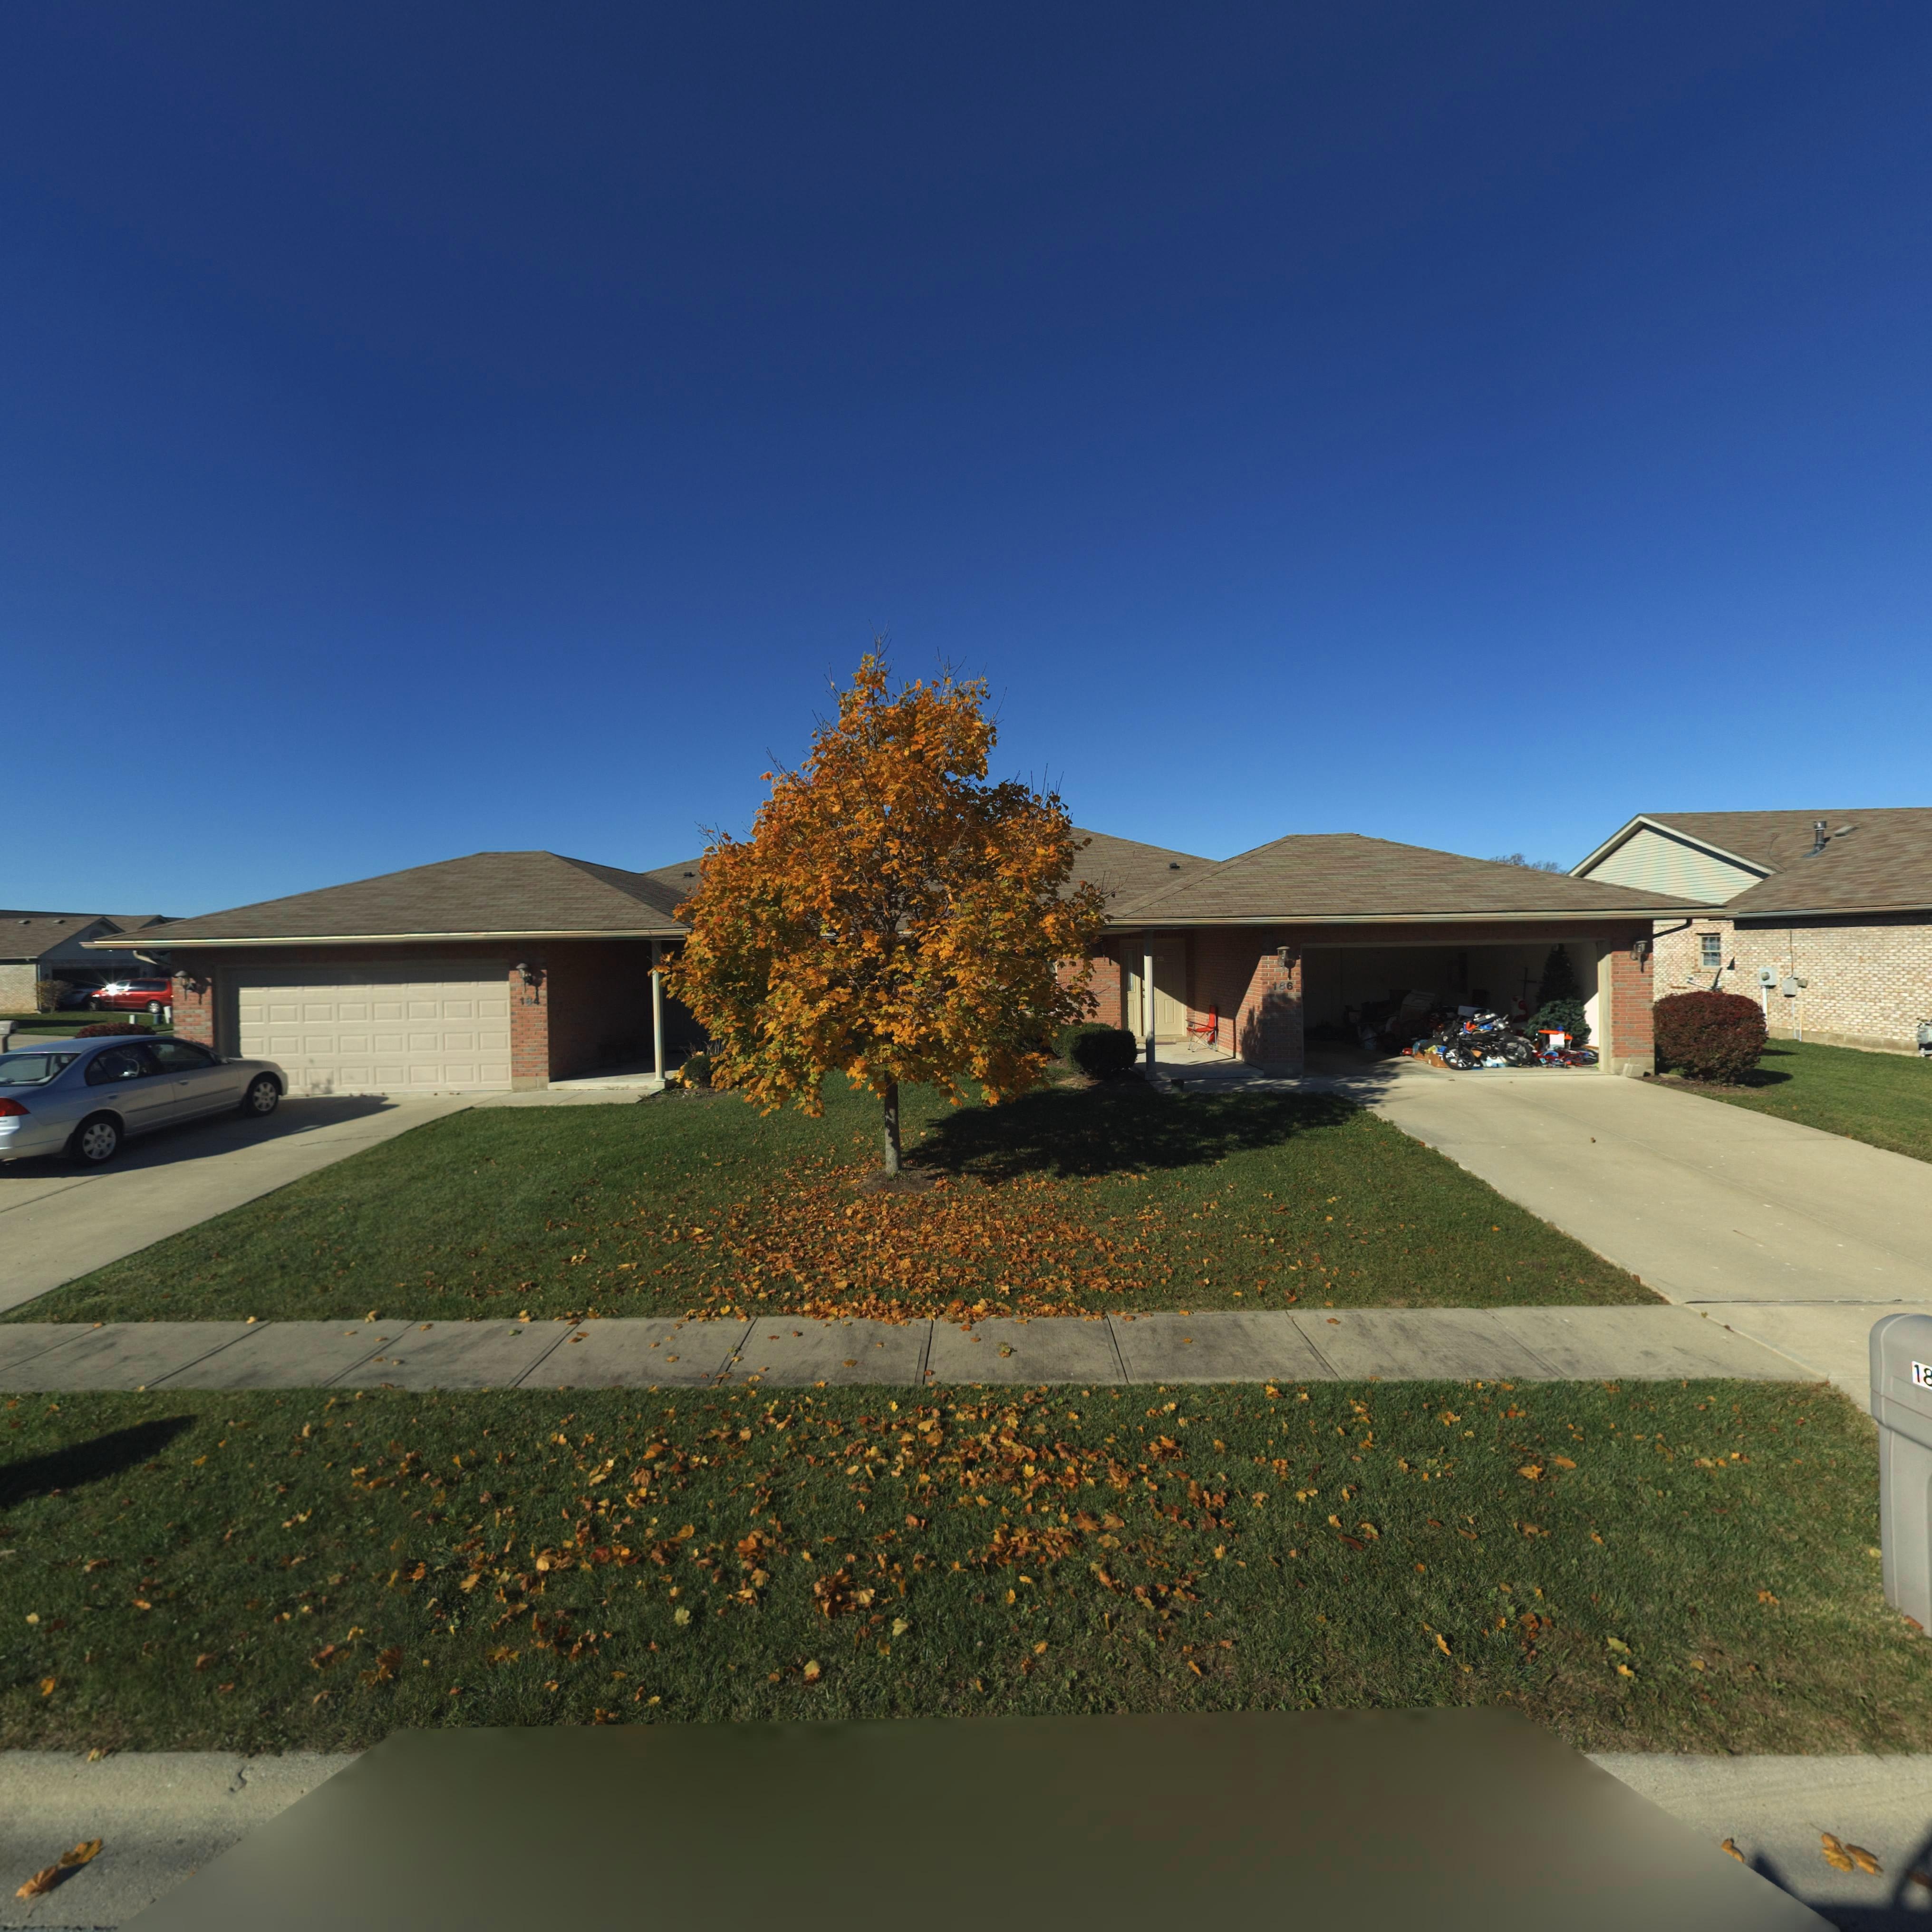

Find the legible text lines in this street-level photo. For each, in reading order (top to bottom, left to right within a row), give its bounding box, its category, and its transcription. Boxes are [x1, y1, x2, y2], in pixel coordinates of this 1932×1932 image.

[1272, 981, 1294, 991] StreetNumber: 186
[519, 996, 541, 1006] StreetNumber: 184
[1913, 1363, 1922, 1384] StreetNumber: 1